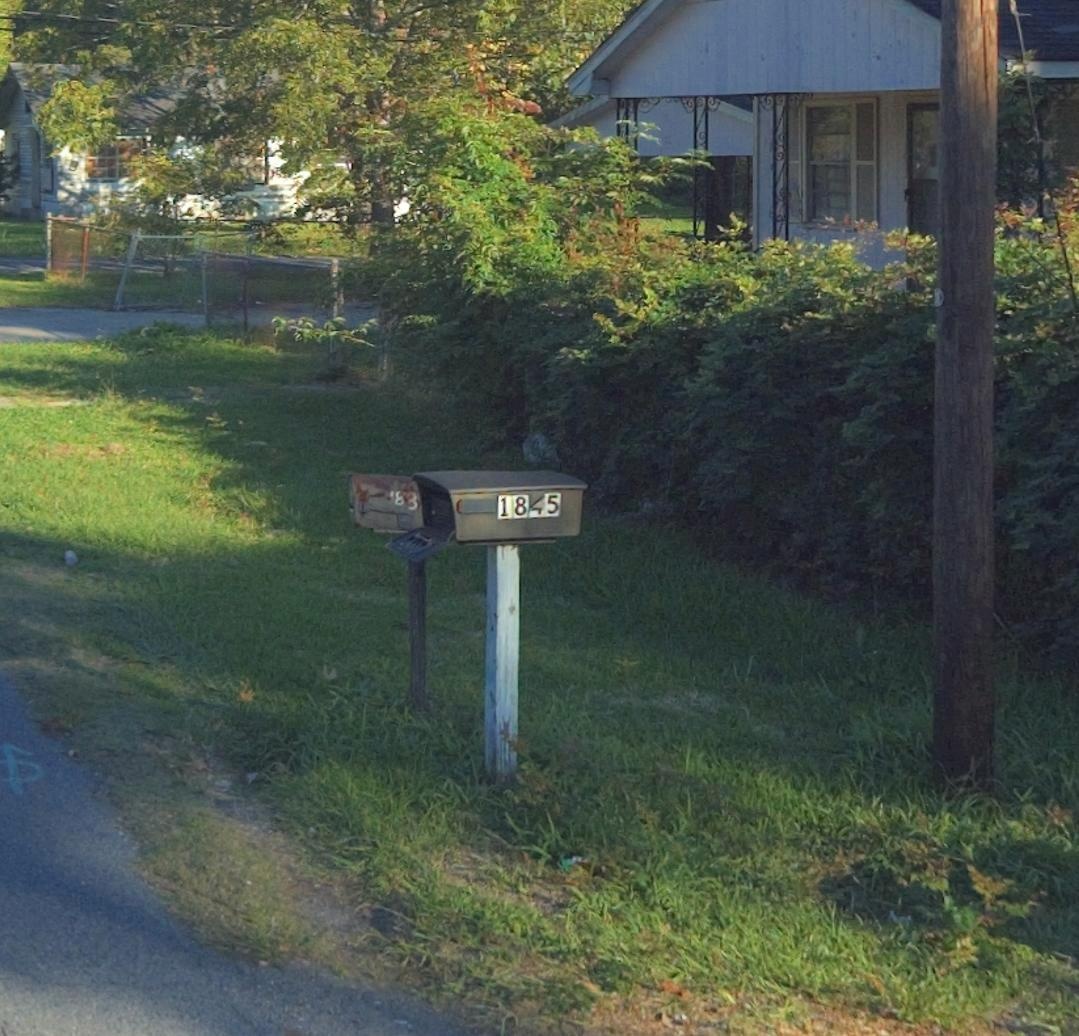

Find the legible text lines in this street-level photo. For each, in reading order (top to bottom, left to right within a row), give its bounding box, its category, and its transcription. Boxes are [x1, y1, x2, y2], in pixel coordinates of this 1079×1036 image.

[388, 490, 419, 513] StreetNumber: 183
[498, 493, 560, 518] StreetNumber: 18*5